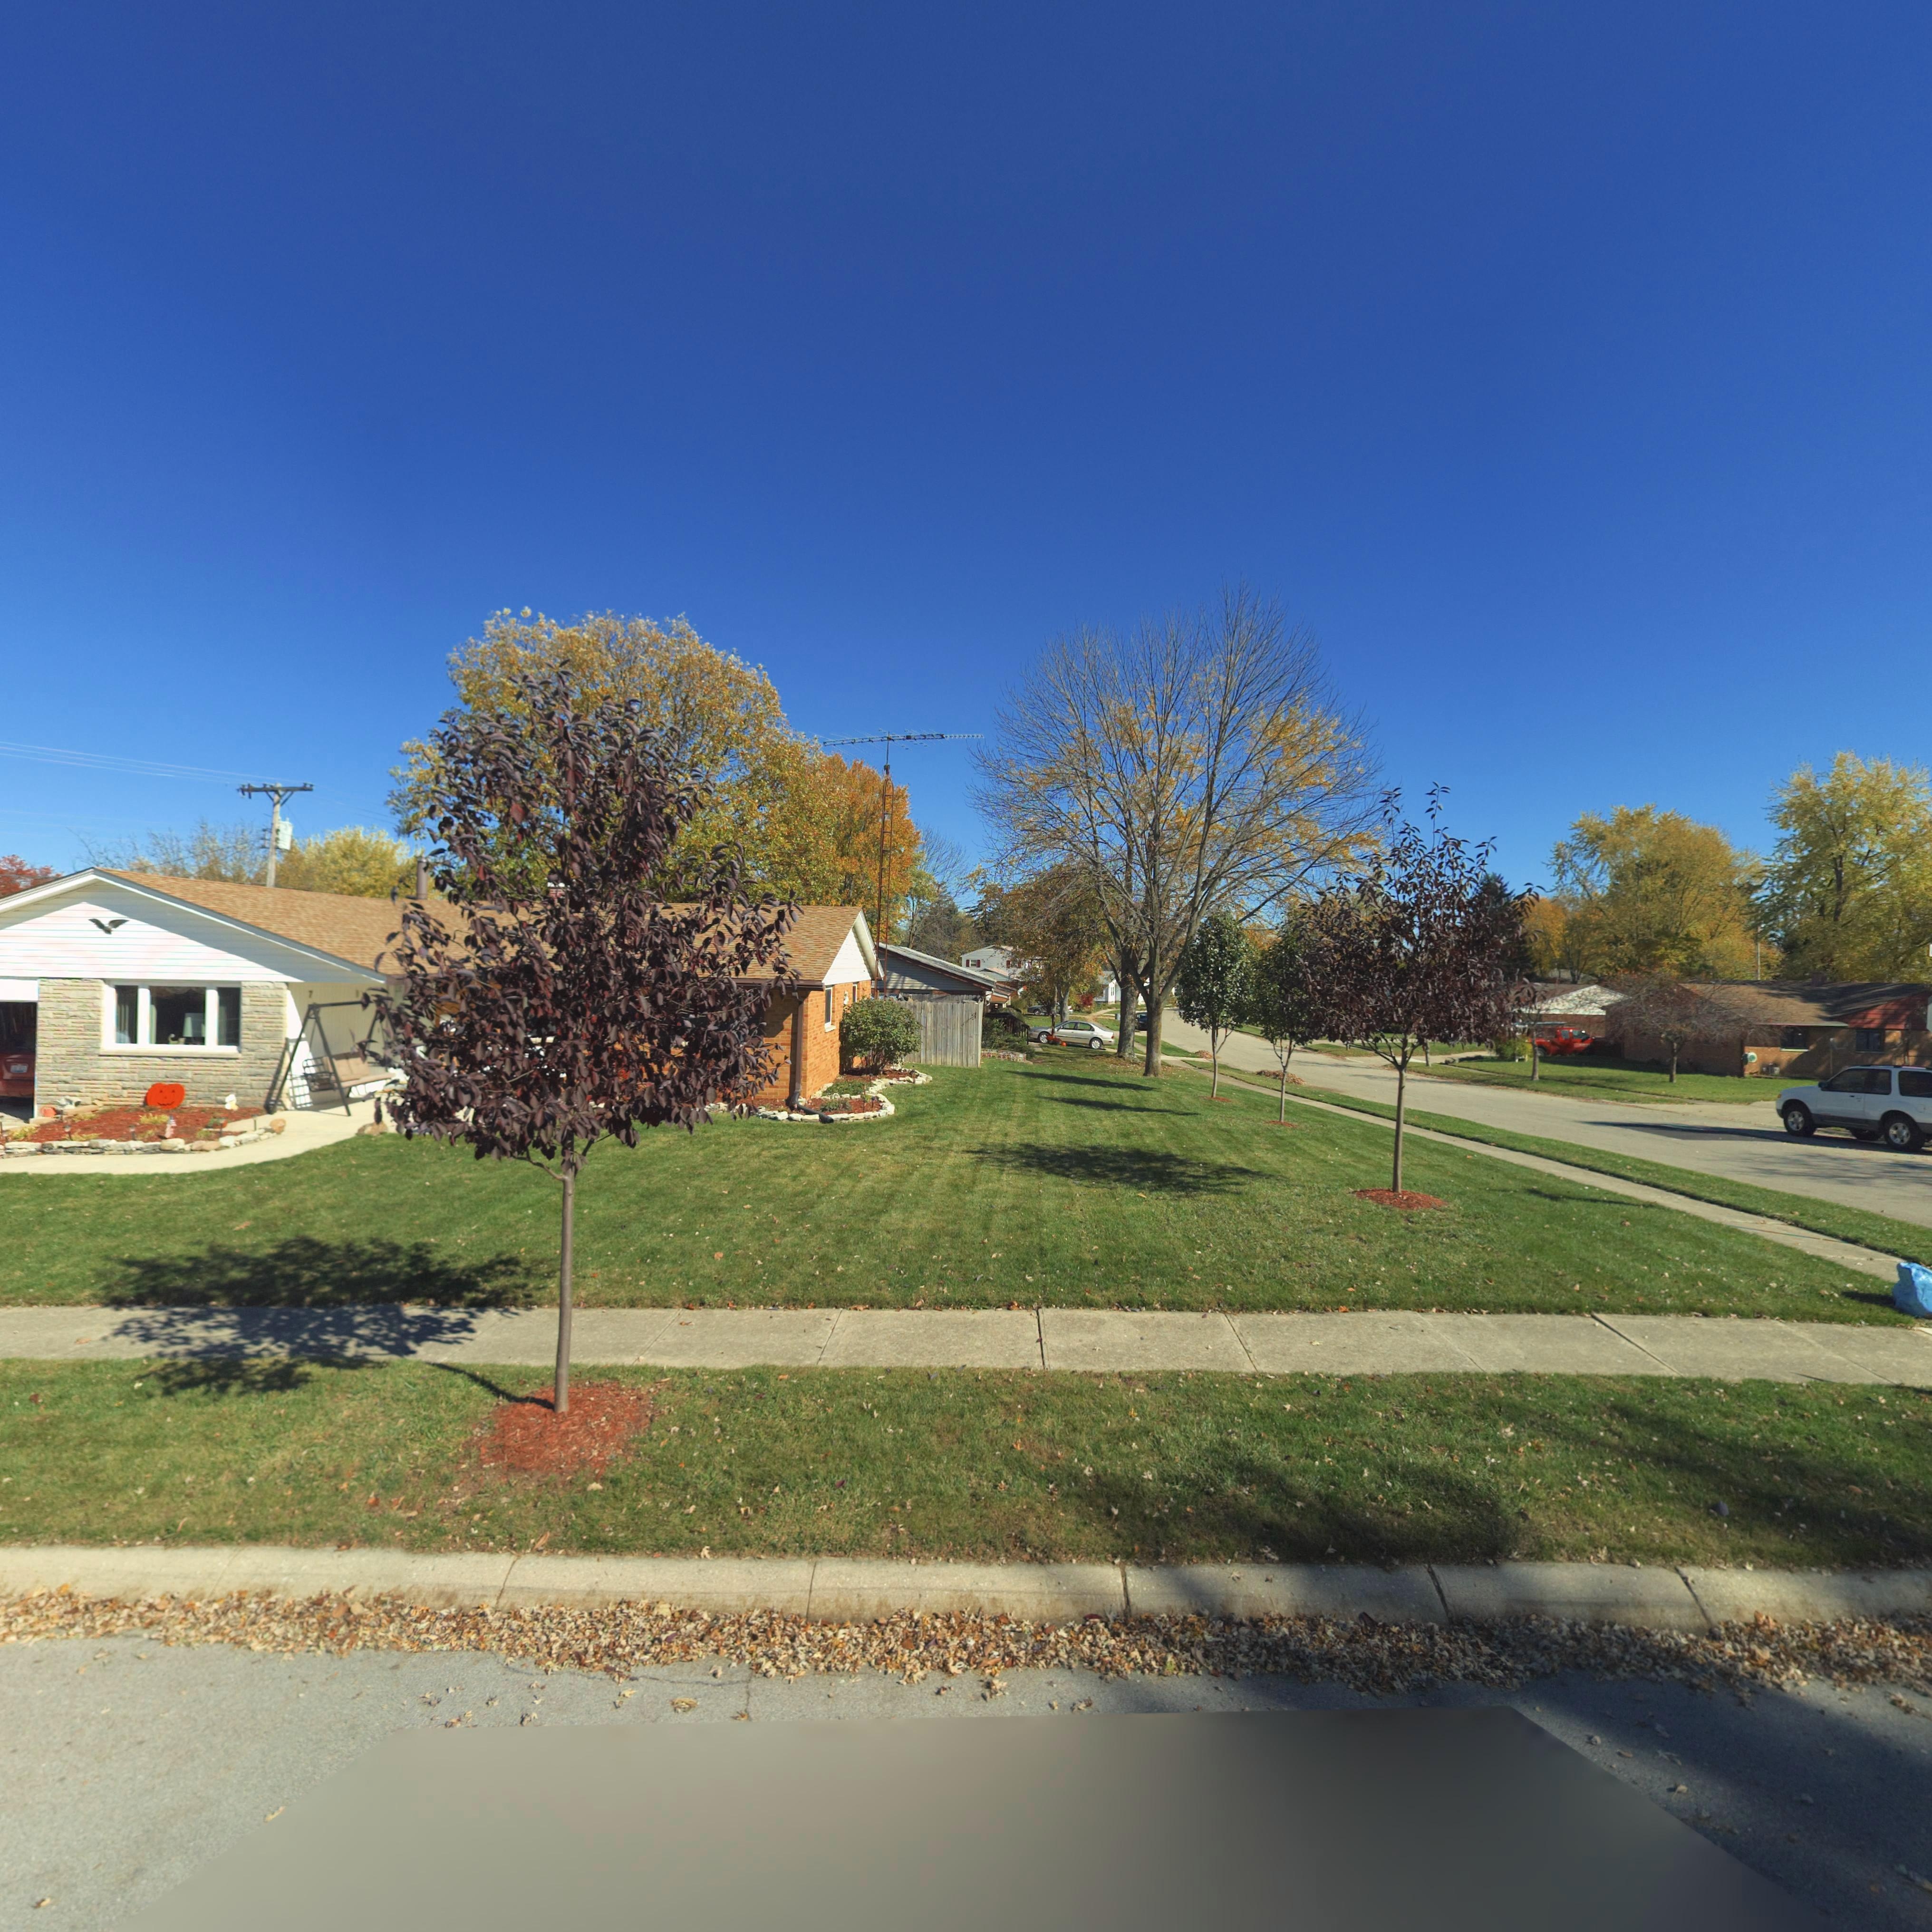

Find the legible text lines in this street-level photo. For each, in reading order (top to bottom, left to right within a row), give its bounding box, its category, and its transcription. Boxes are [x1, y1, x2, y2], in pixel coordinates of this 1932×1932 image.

[308, 990, 313, 999] StreetNumber: 7